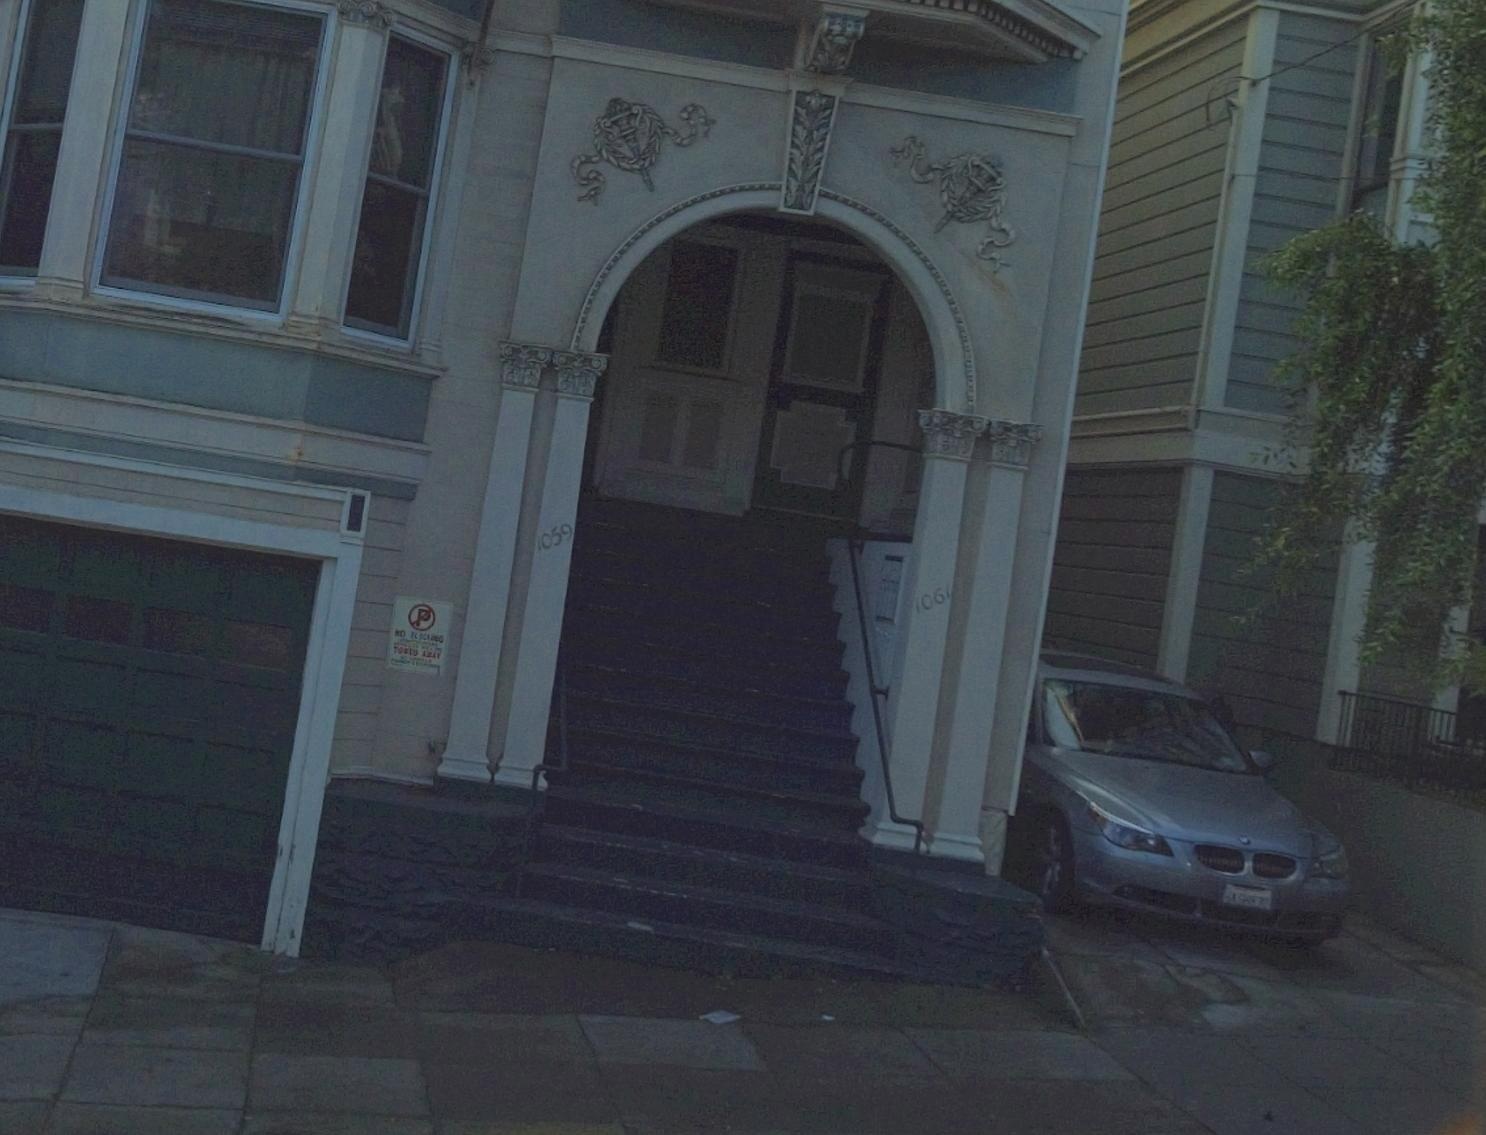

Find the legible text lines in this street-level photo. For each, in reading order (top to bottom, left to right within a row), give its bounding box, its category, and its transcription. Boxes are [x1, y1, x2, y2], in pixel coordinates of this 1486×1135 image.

[535, 517, 577, 558] StreetNumber: 1059
[912, 576, 954, 622] StreetNumber: 1061